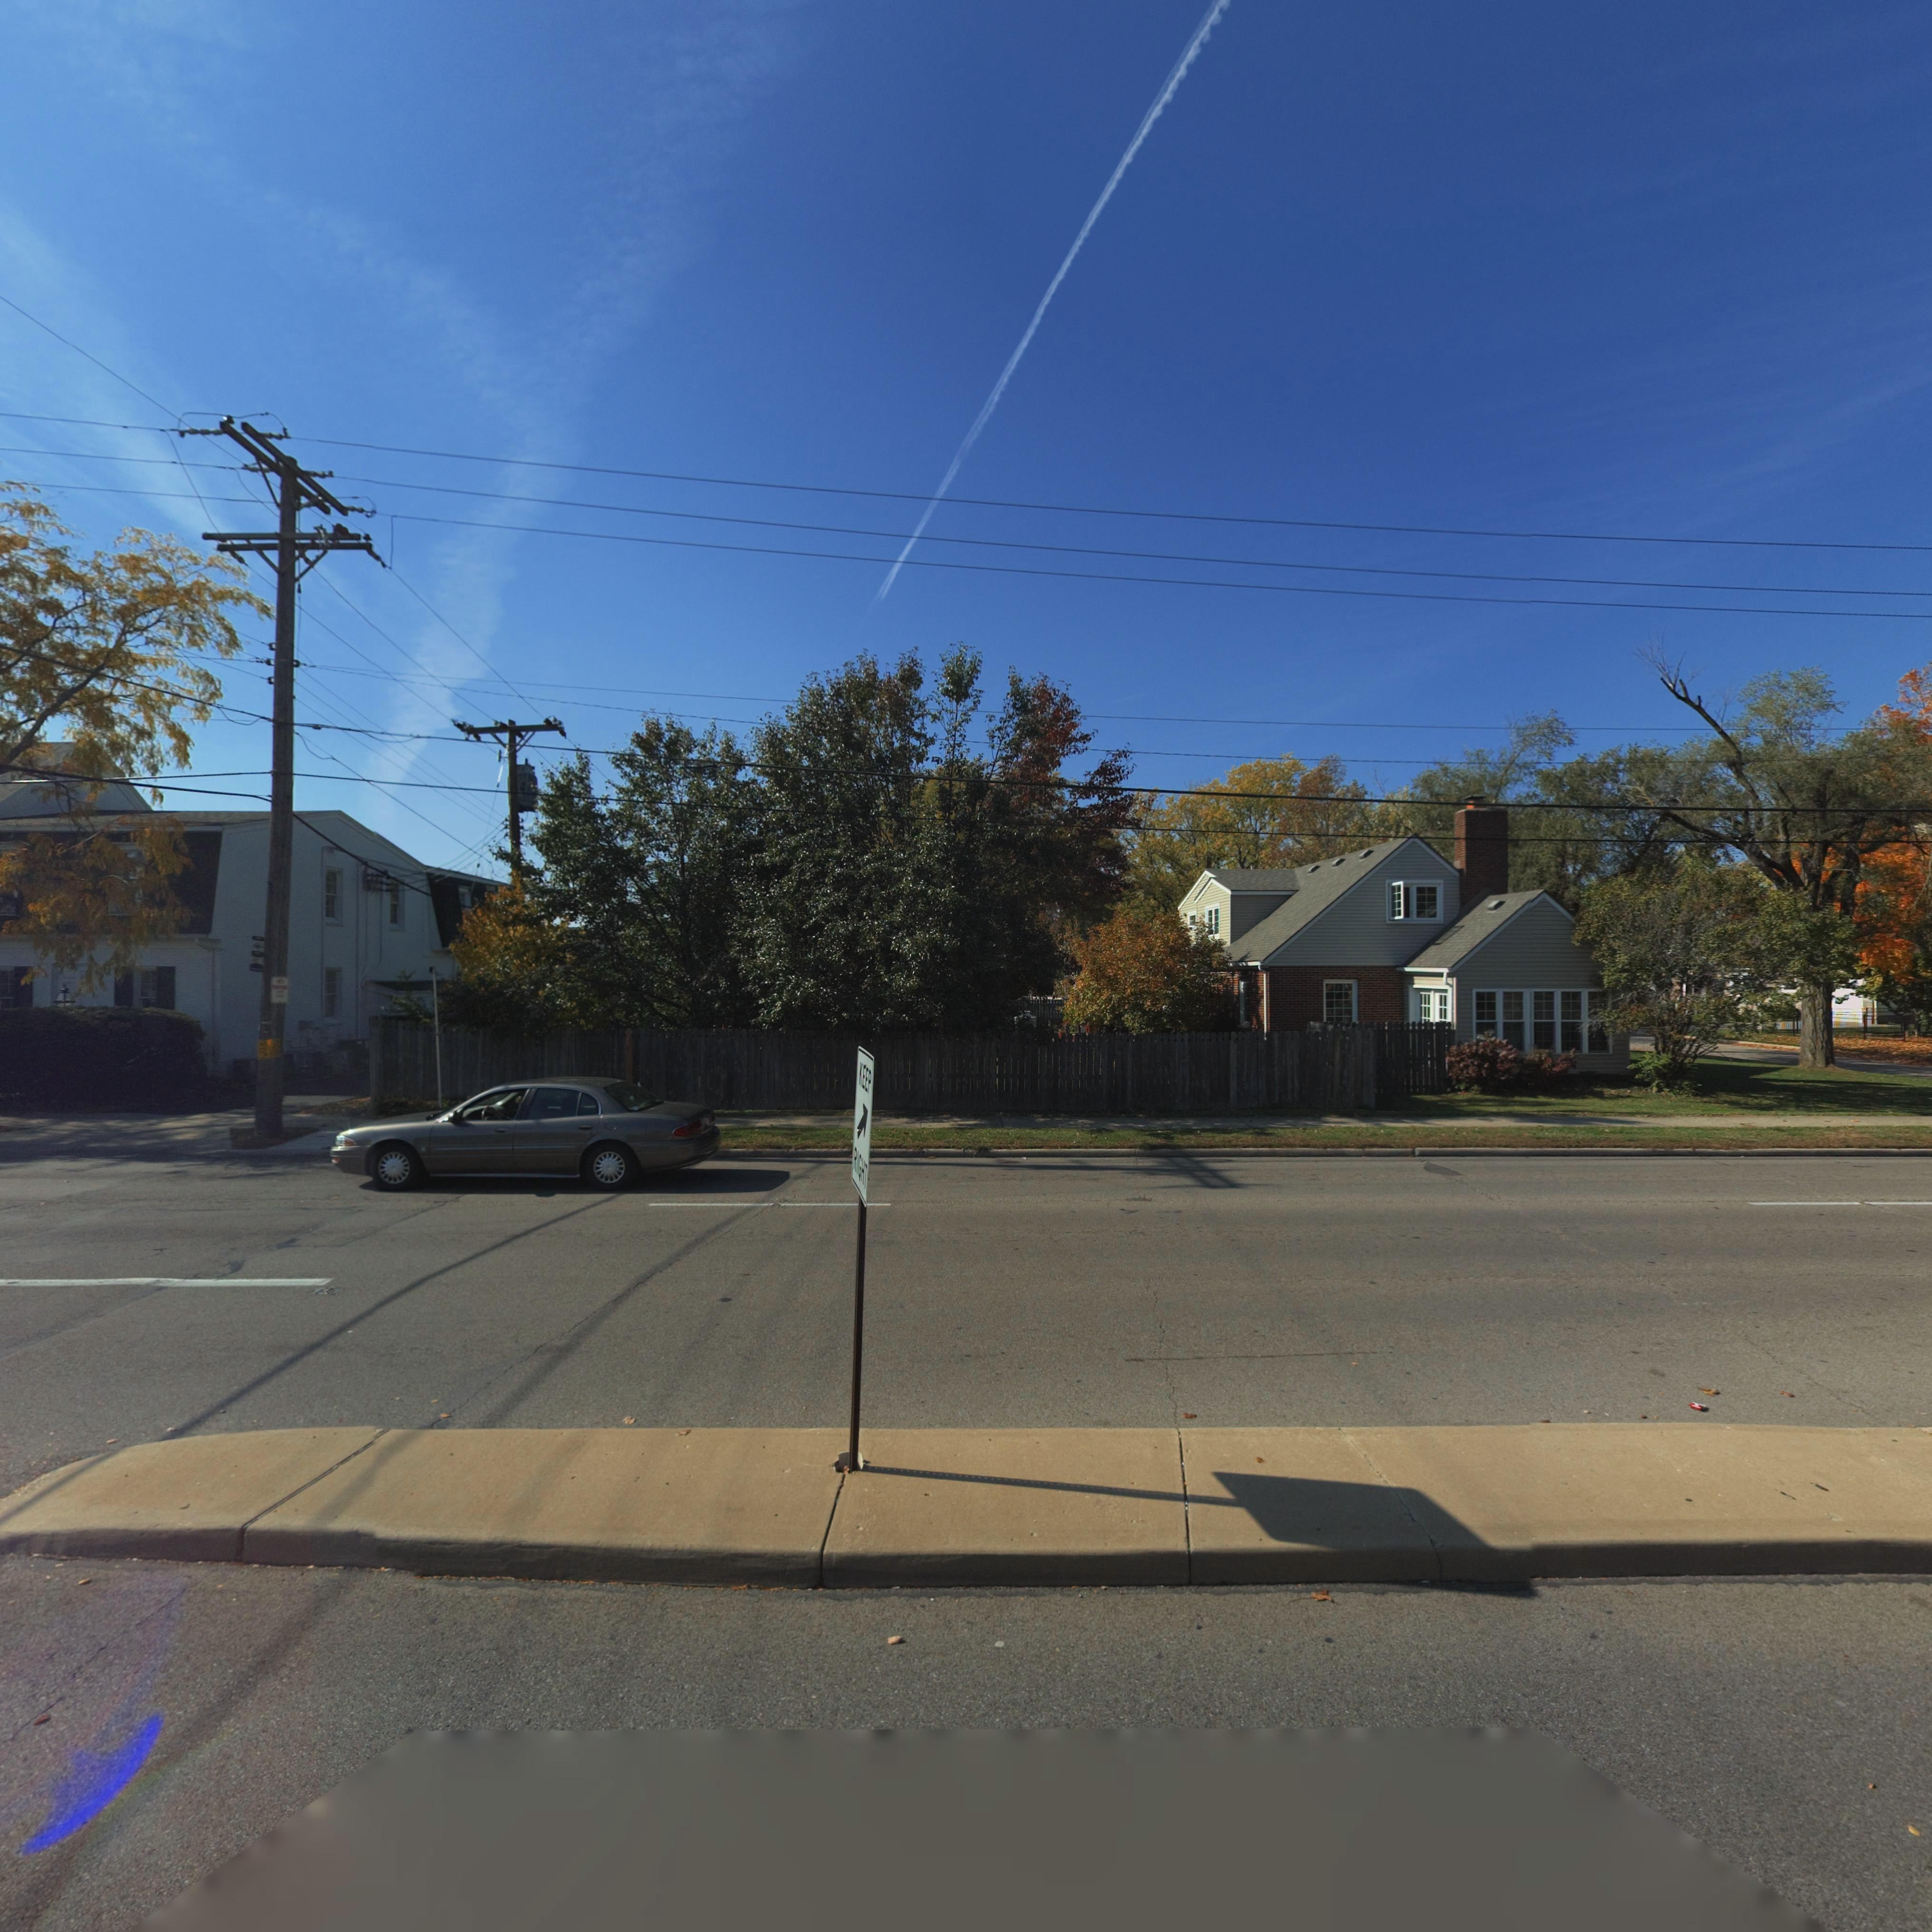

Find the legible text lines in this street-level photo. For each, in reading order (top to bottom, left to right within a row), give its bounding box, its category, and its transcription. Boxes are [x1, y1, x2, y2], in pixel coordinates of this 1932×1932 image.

[859, 1061, 872, 1094] None: KEEP
[853, 1145, 868, 1189] None: RIGHT